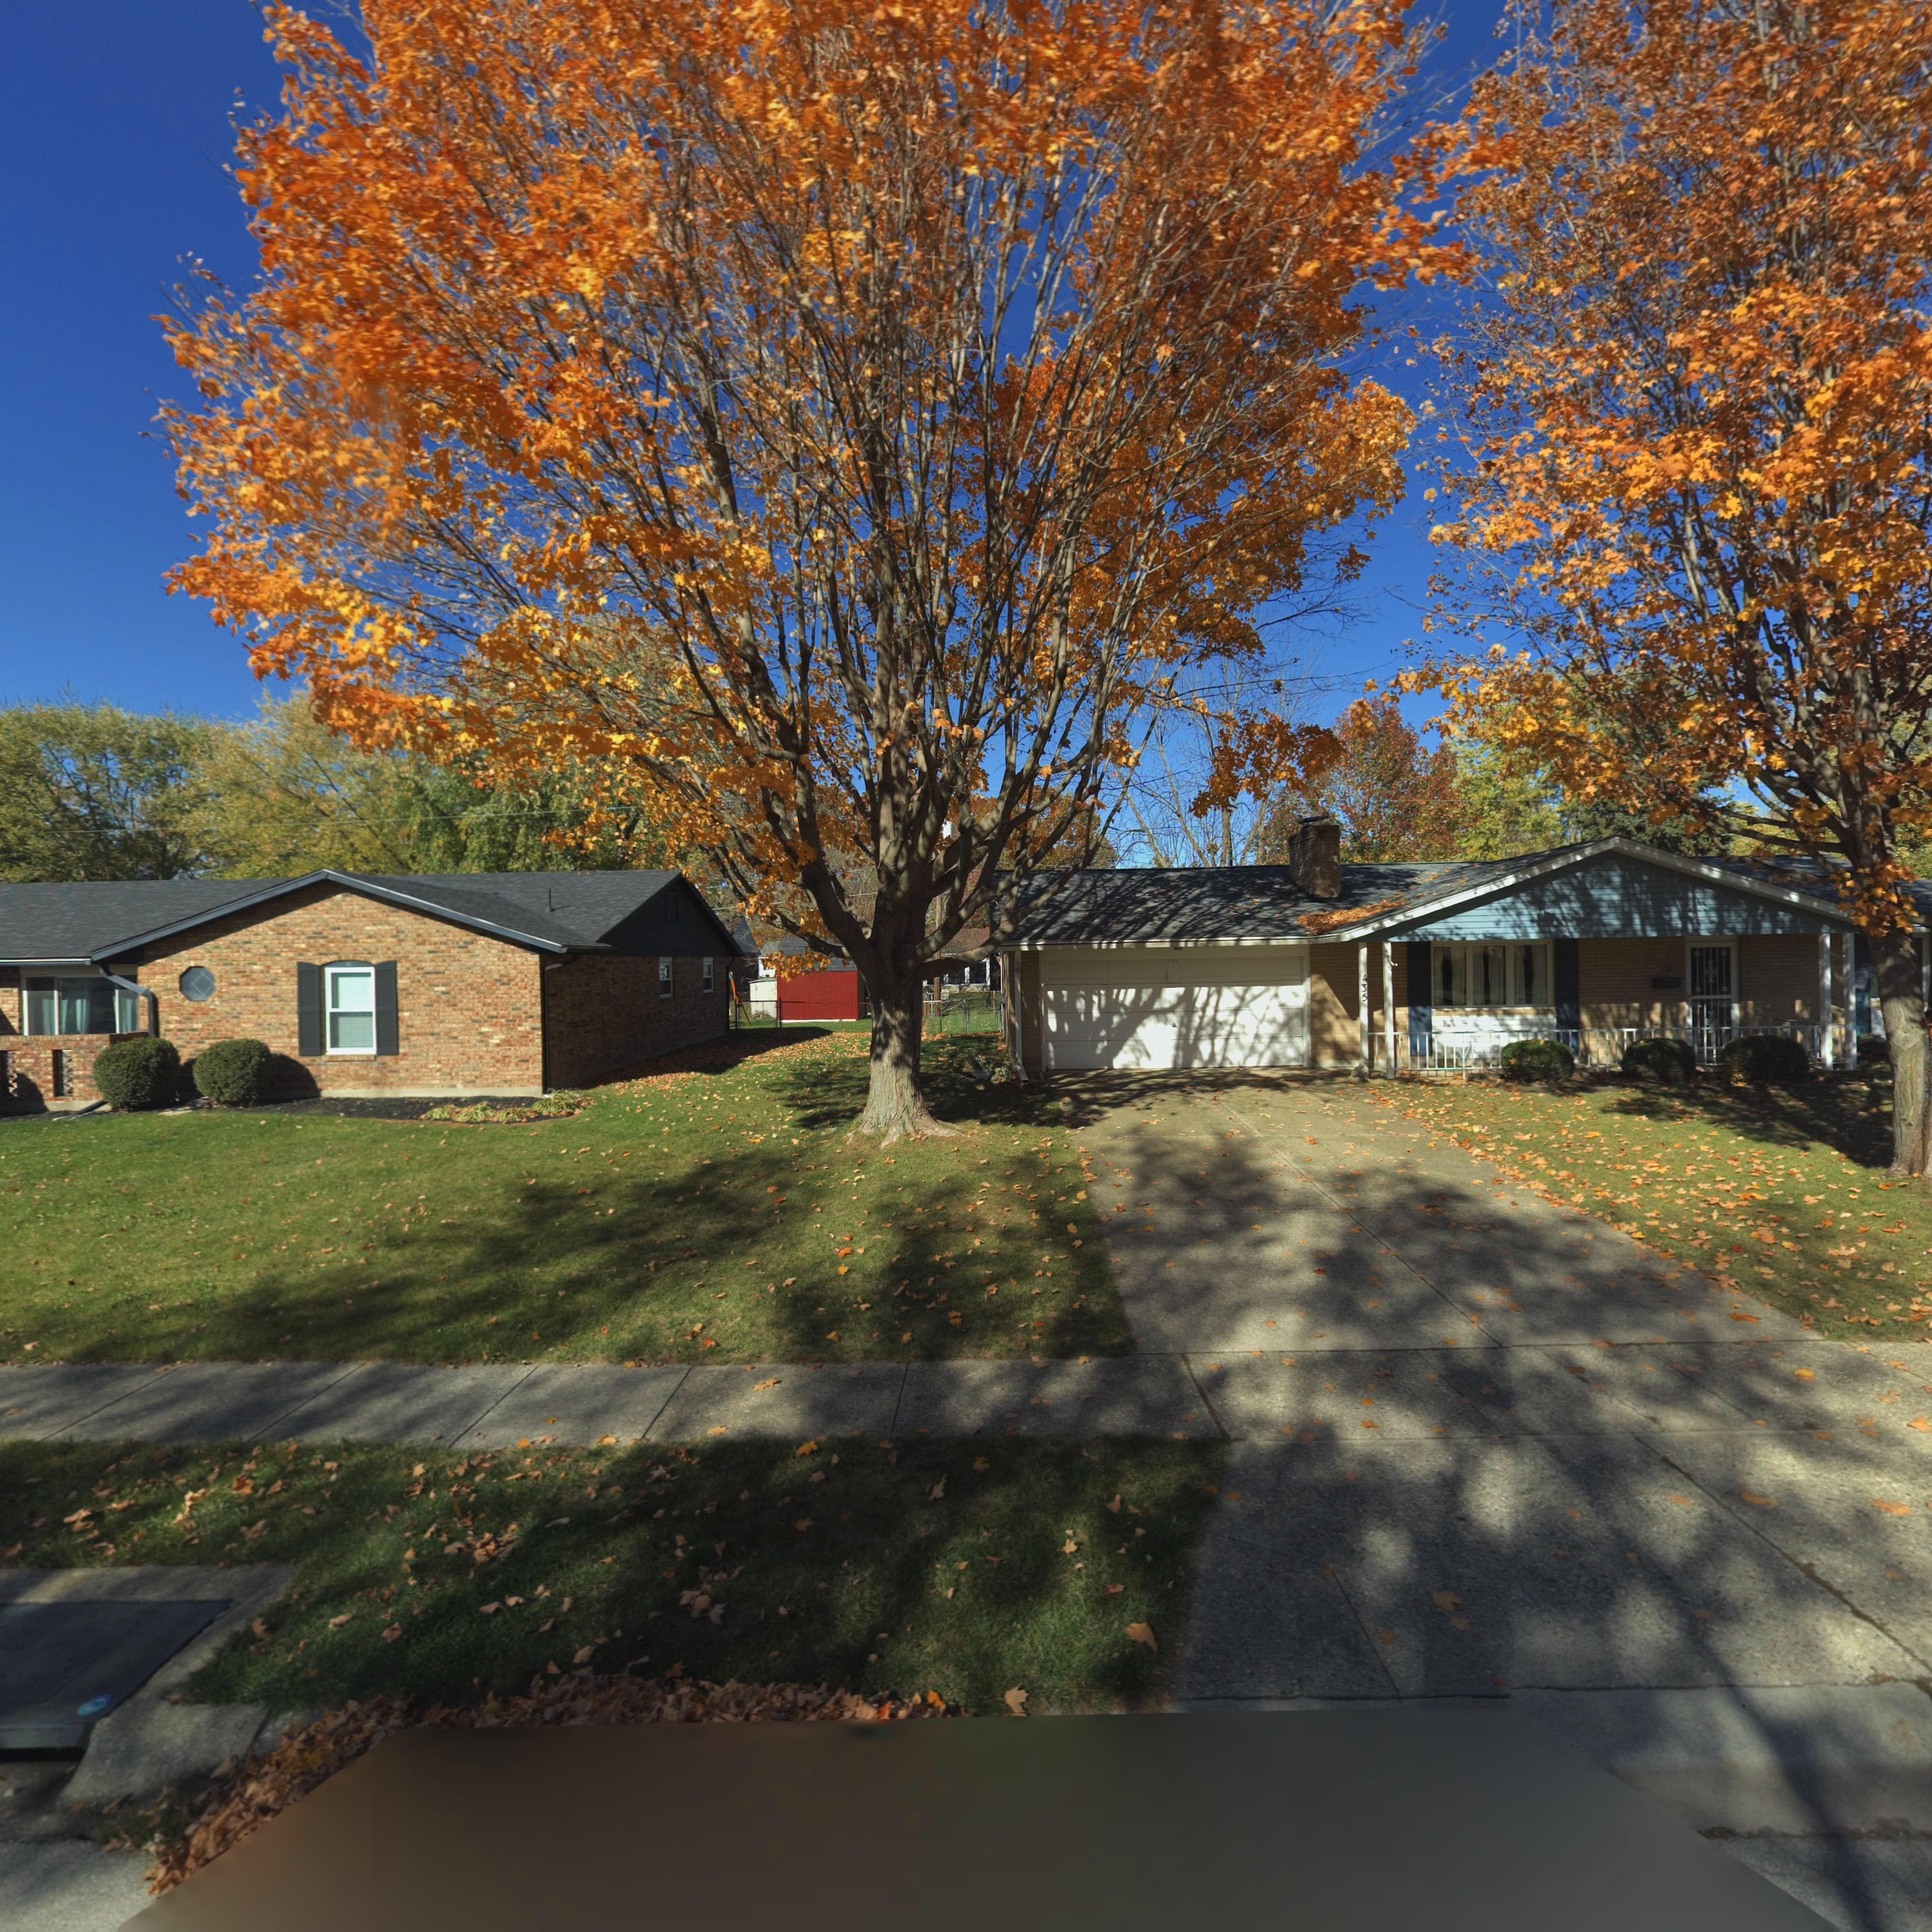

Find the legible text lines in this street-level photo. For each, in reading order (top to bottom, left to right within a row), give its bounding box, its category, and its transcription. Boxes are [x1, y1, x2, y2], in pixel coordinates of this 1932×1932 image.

[1360, 973, 1369, 1003] StreetNumber: 435